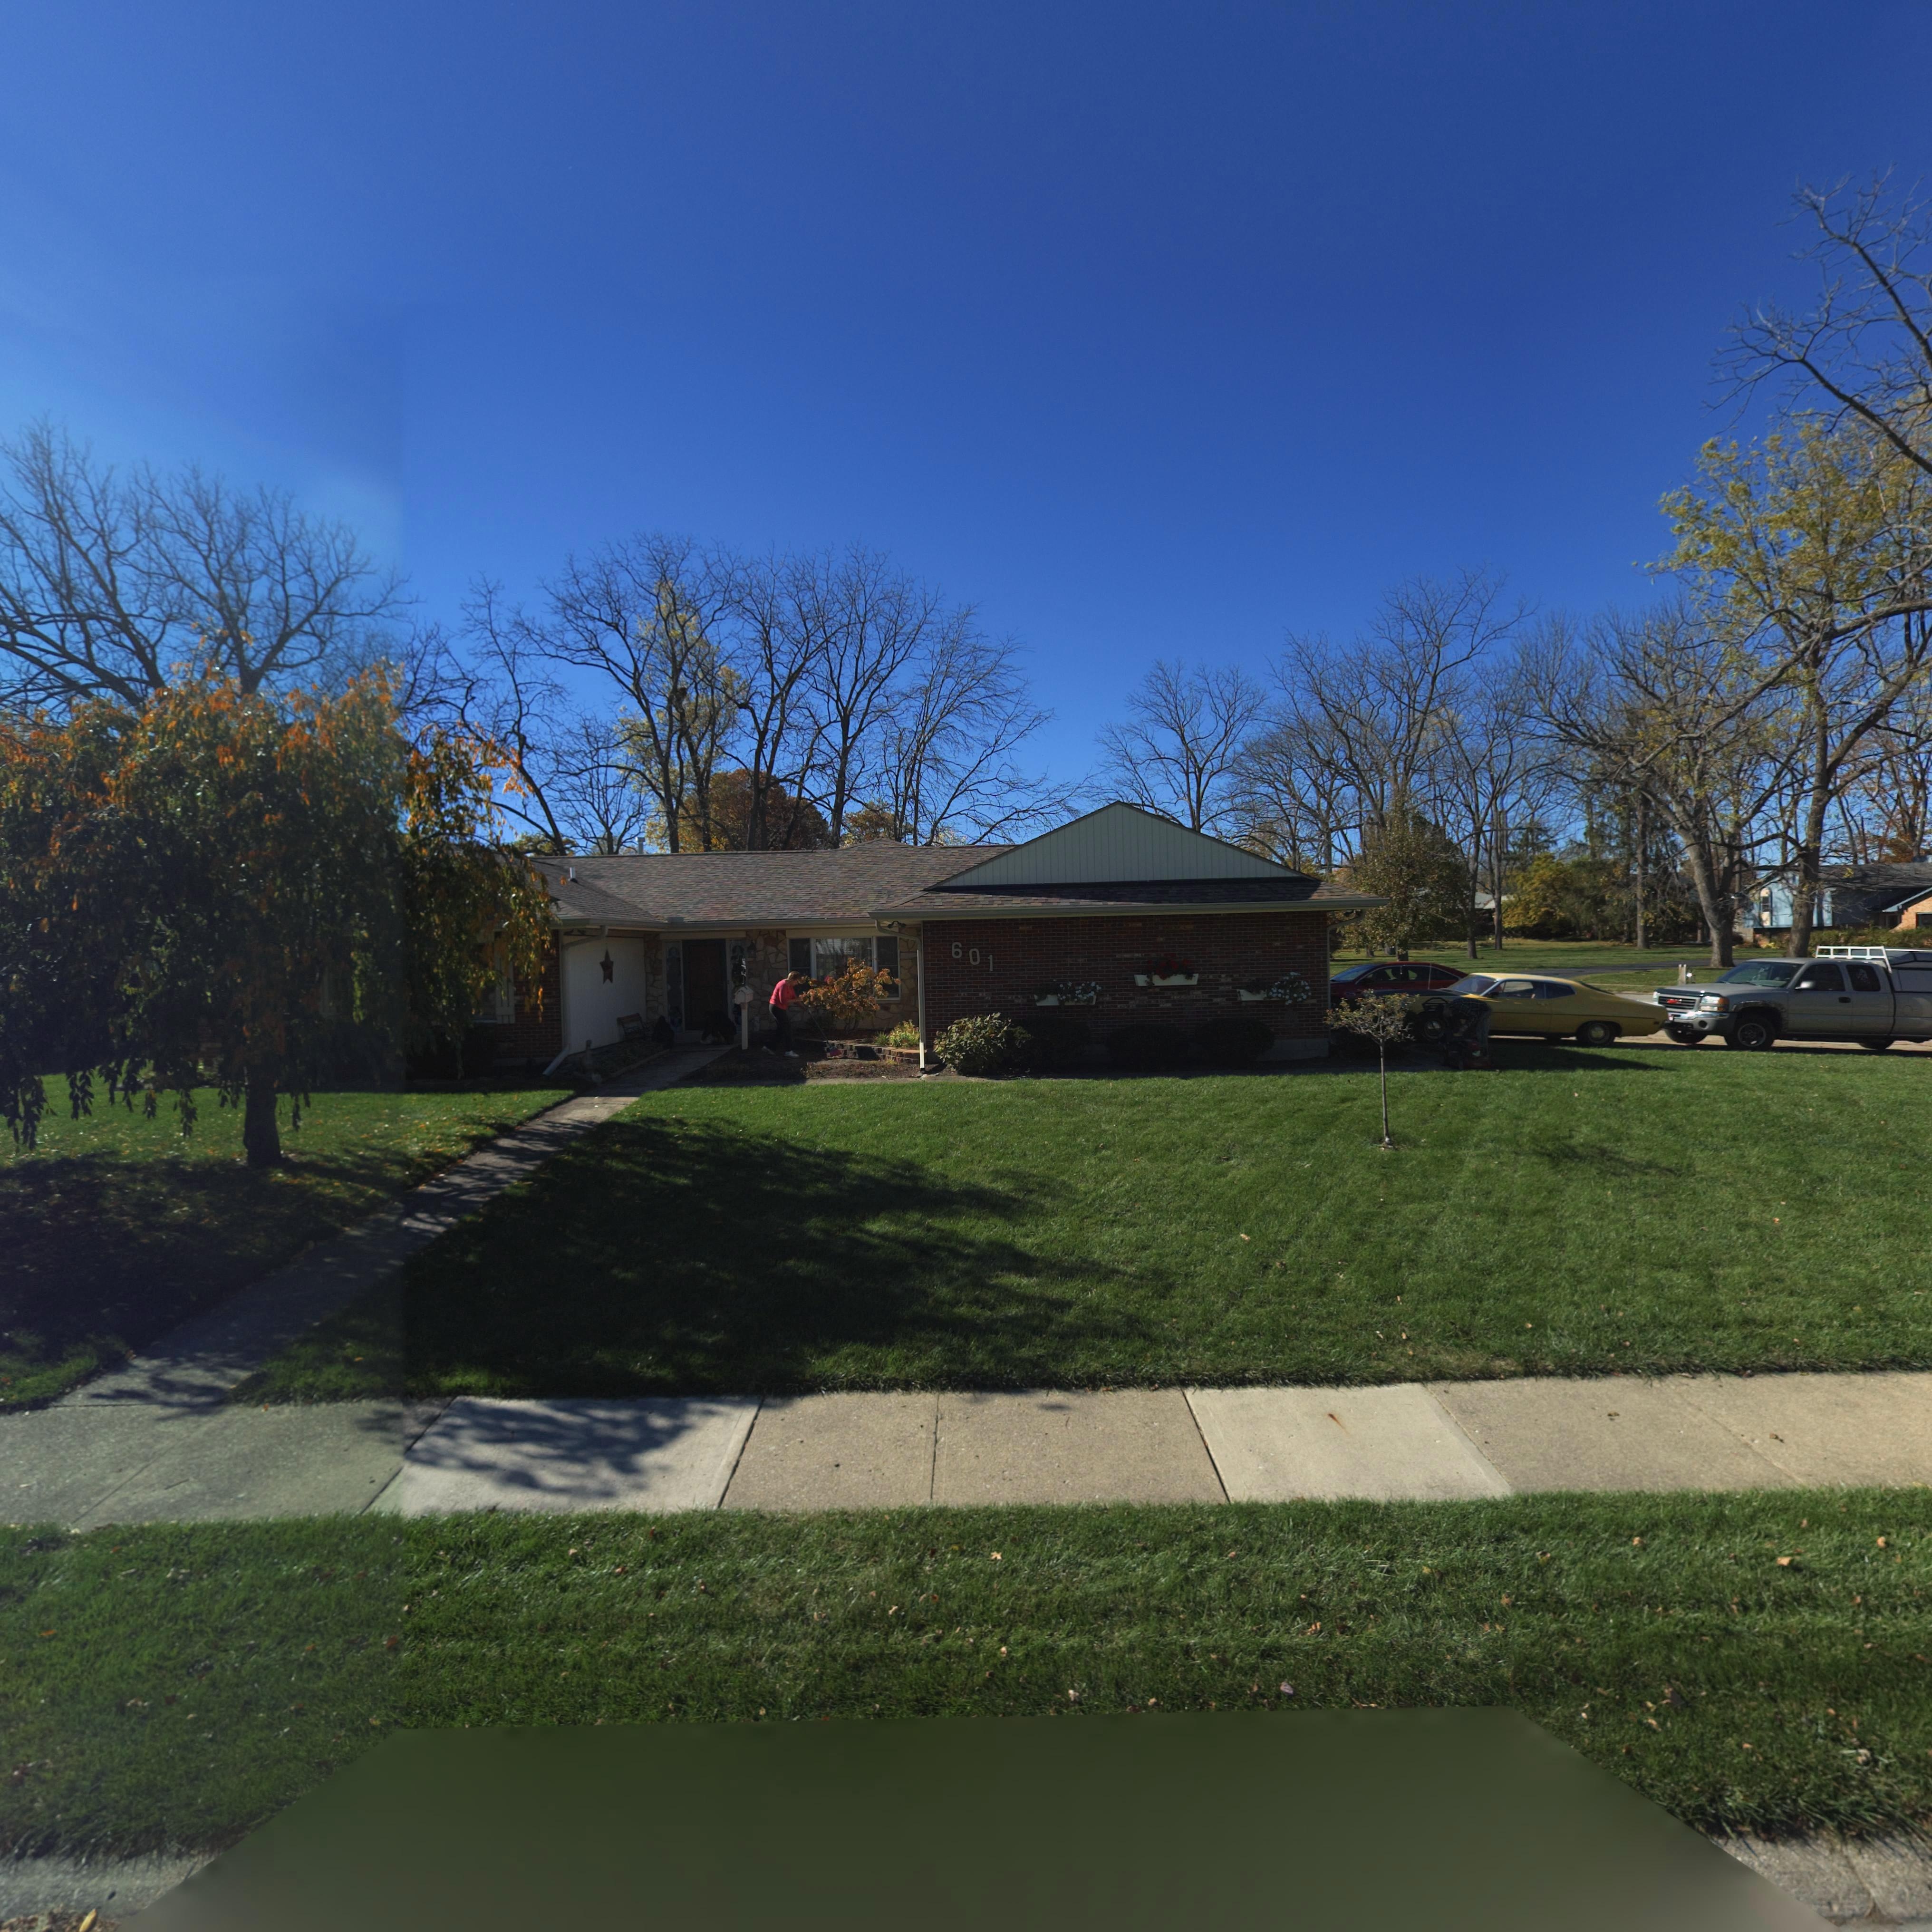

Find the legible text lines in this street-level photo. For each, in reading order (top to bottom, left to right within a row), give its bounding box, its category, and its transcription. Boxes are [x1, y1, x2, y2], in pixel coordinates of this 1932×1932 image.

[951, 941, 994, 972] StreetNumber: 601